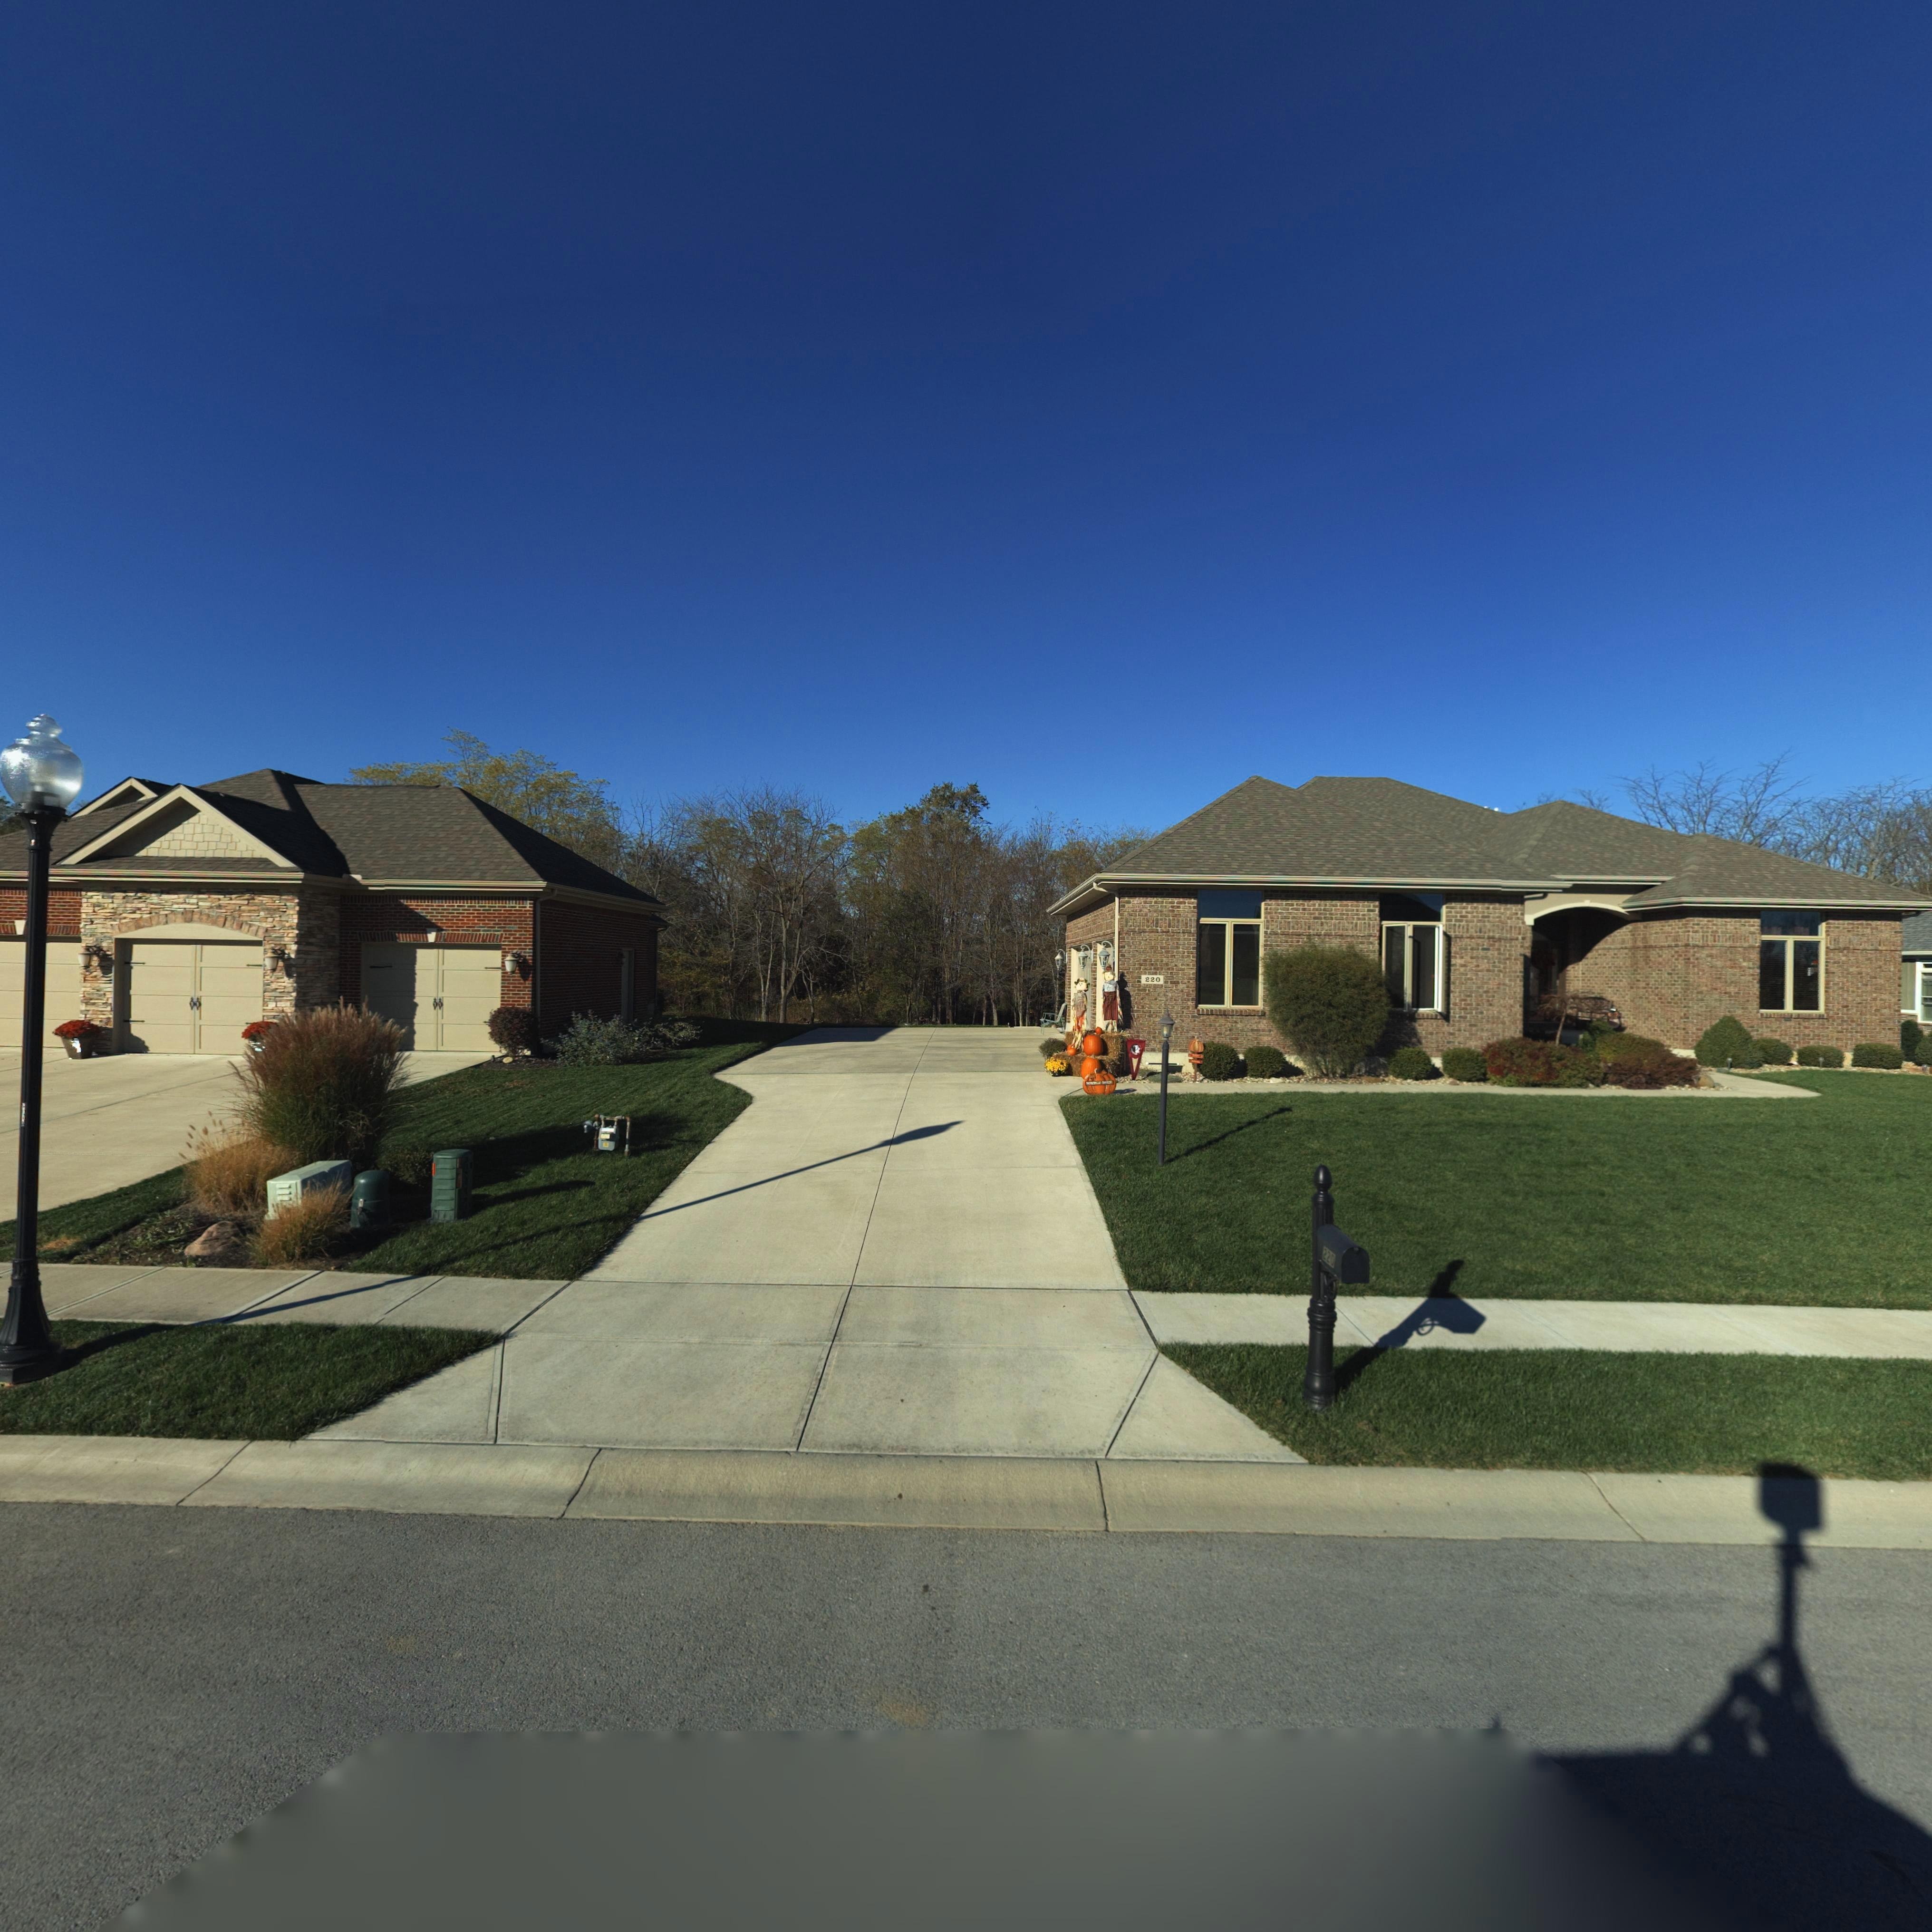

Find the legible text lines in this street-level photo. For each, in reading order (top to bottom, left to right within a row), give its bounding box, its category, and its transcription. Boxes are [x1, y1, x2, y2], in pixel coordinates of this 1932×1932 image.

[1144, 976, 1161, 983] StreetNumber: 220
[1321, 1246, 1336, 1267] StreetNumber: 220